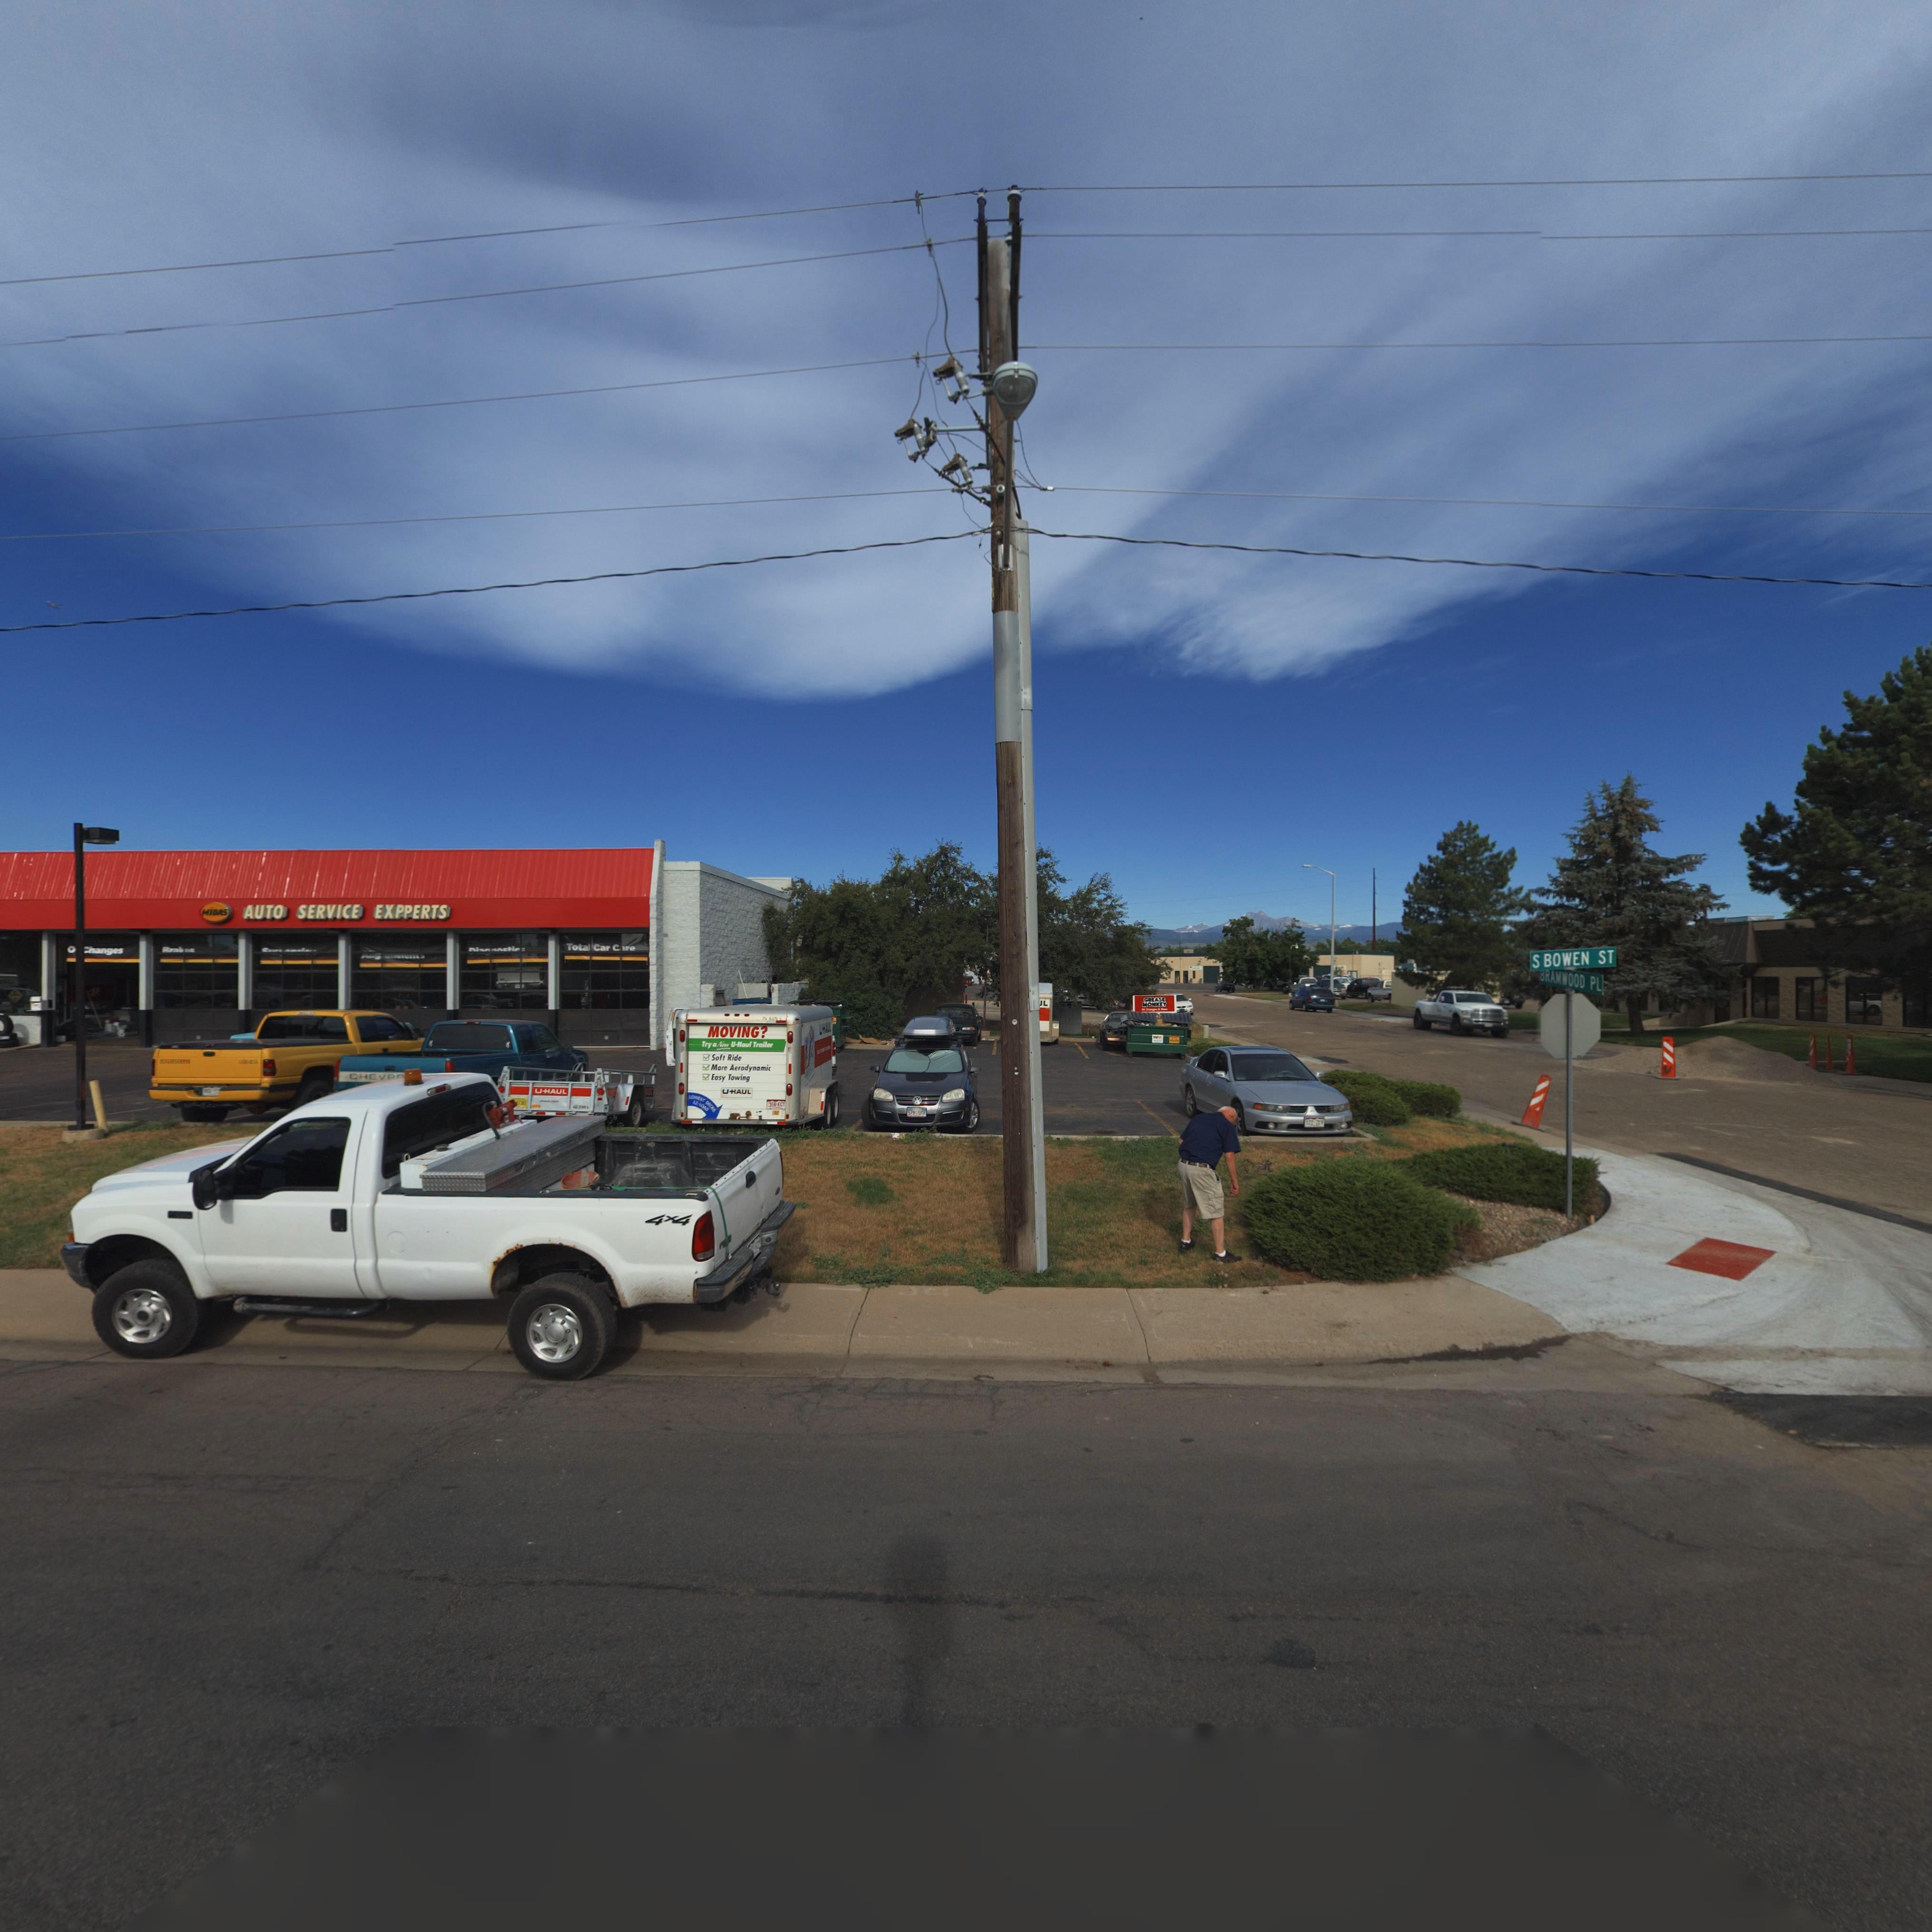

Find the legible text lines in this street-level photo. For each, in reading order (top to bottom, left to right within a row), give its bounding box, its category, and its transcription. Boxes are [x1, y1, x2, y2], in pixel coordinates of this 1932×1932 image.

[201, 906, 229, 916] BusinessName: MiDAS
[1532, 949, 1614, 968] StreetName: S BOWEN ST
[1540, 969, 1602, 992] StreetName: BRAMWOOD PL
[1142, 1002, 1166, 1006] BusinessName: MONKEY
[1143, 997, 1165, 1002] BusinessName: GREASE